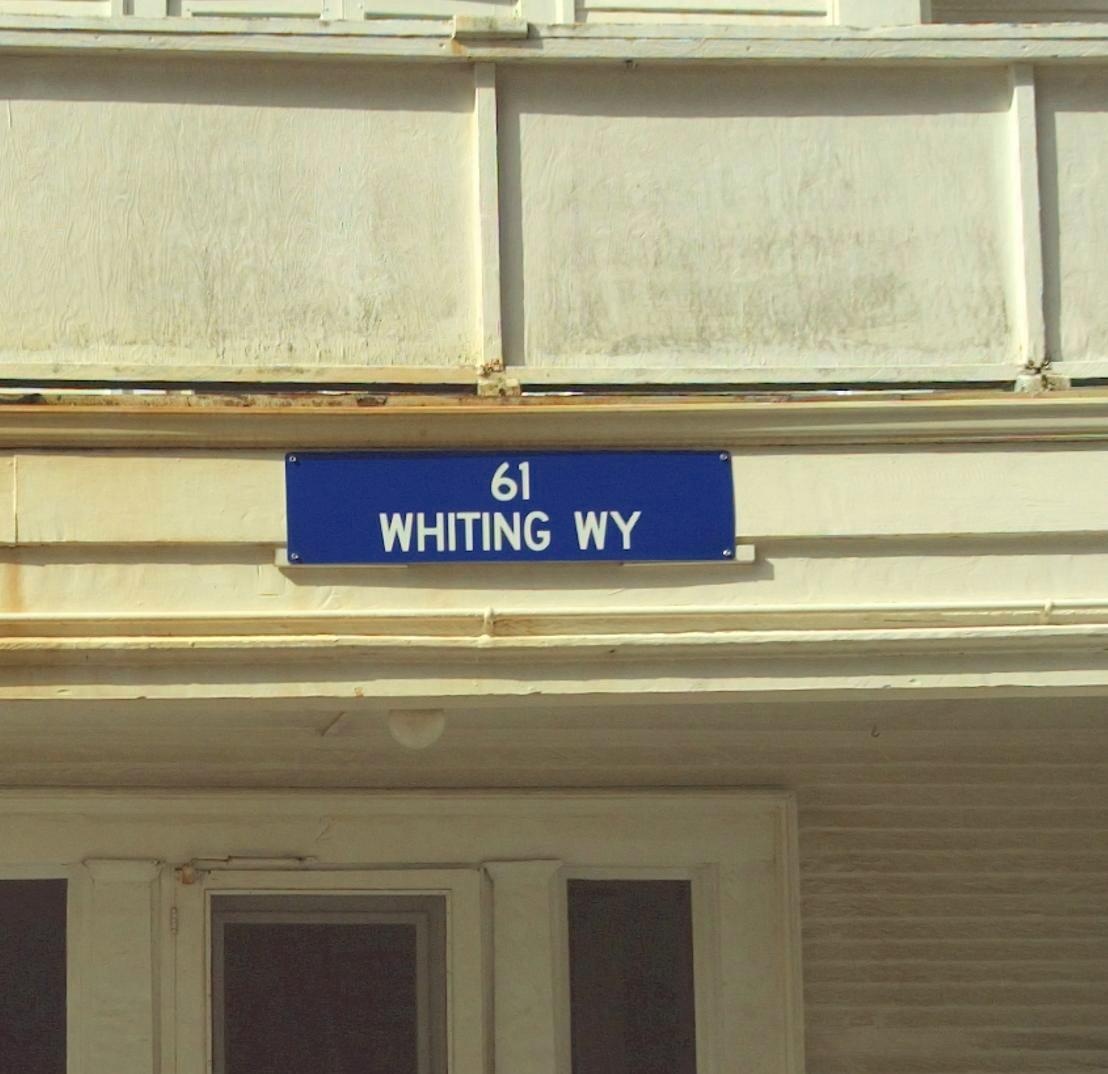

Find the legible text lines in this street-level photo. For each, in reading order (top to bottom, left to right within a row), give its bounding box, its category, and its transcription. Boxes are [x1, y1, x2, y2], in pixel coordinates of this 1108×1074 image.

[489, 460, 533, 502] StreetNumber: 61
[376, 509, 645, 554] StreetName: WHITING WY